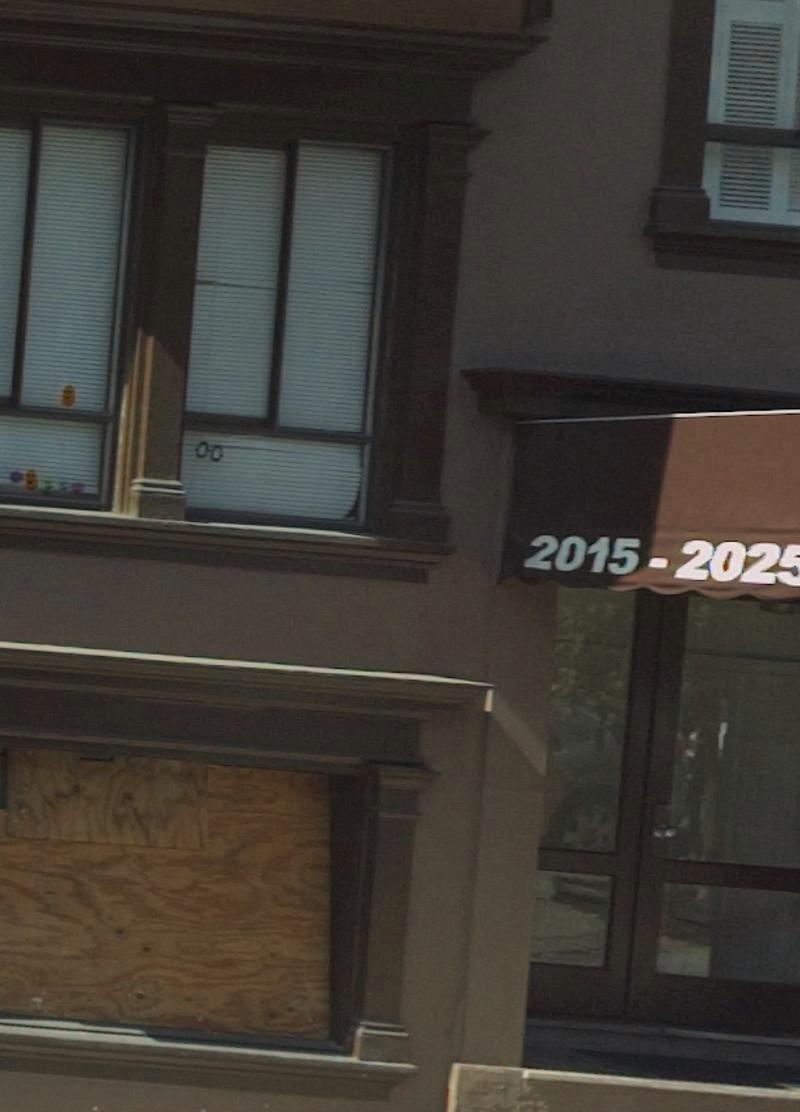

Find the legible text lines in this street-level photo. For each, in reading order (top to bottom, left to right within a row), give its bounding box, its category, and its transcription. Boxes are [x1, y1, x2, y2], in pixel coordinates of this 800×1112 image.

[520, 532, 643, 578] StreetNumber: 2015-2025
[672, 537, 785, 587] StreetNumber: 202